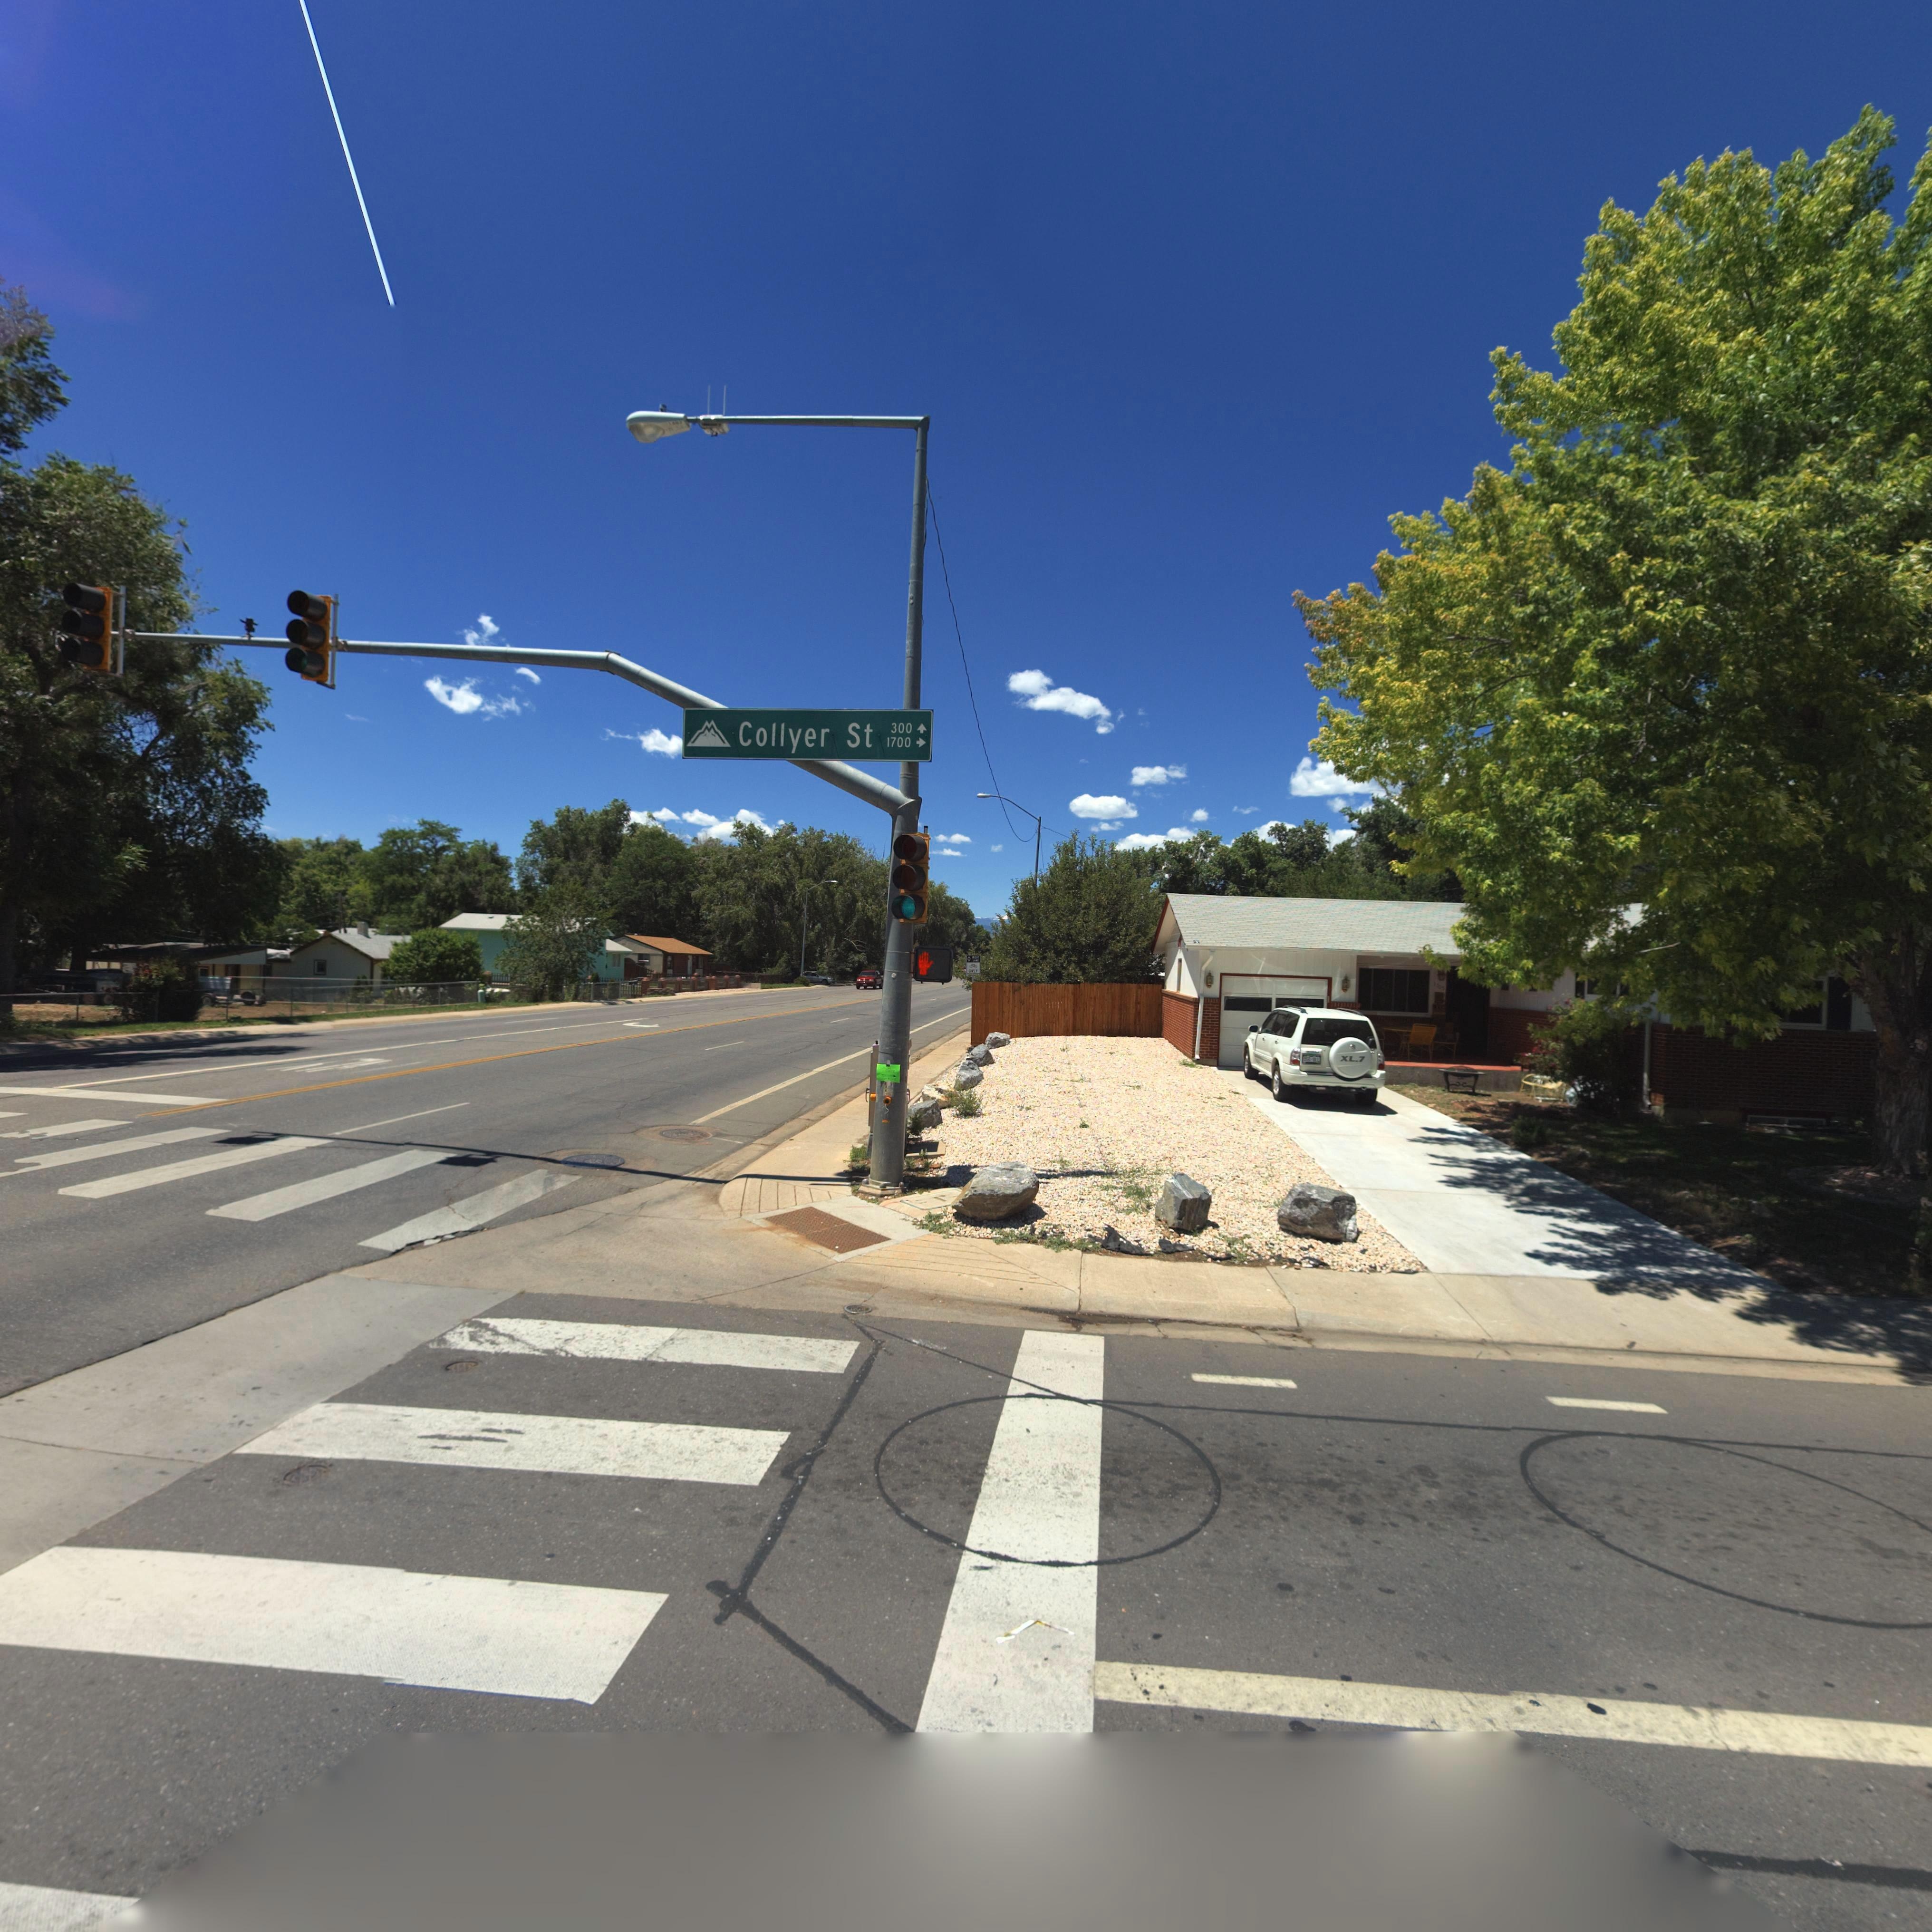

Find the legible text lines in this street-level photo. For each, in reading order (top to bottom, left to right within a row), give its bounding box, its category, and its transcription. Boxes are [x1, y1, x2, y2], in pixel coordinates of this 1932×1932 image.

[890, 722, 912, 733] StreetNumberRange: 300
[739, 721, 873, 754] StreetName: Collyer St
[886, 736, 927, 747] StreetNumberRange: 1700->